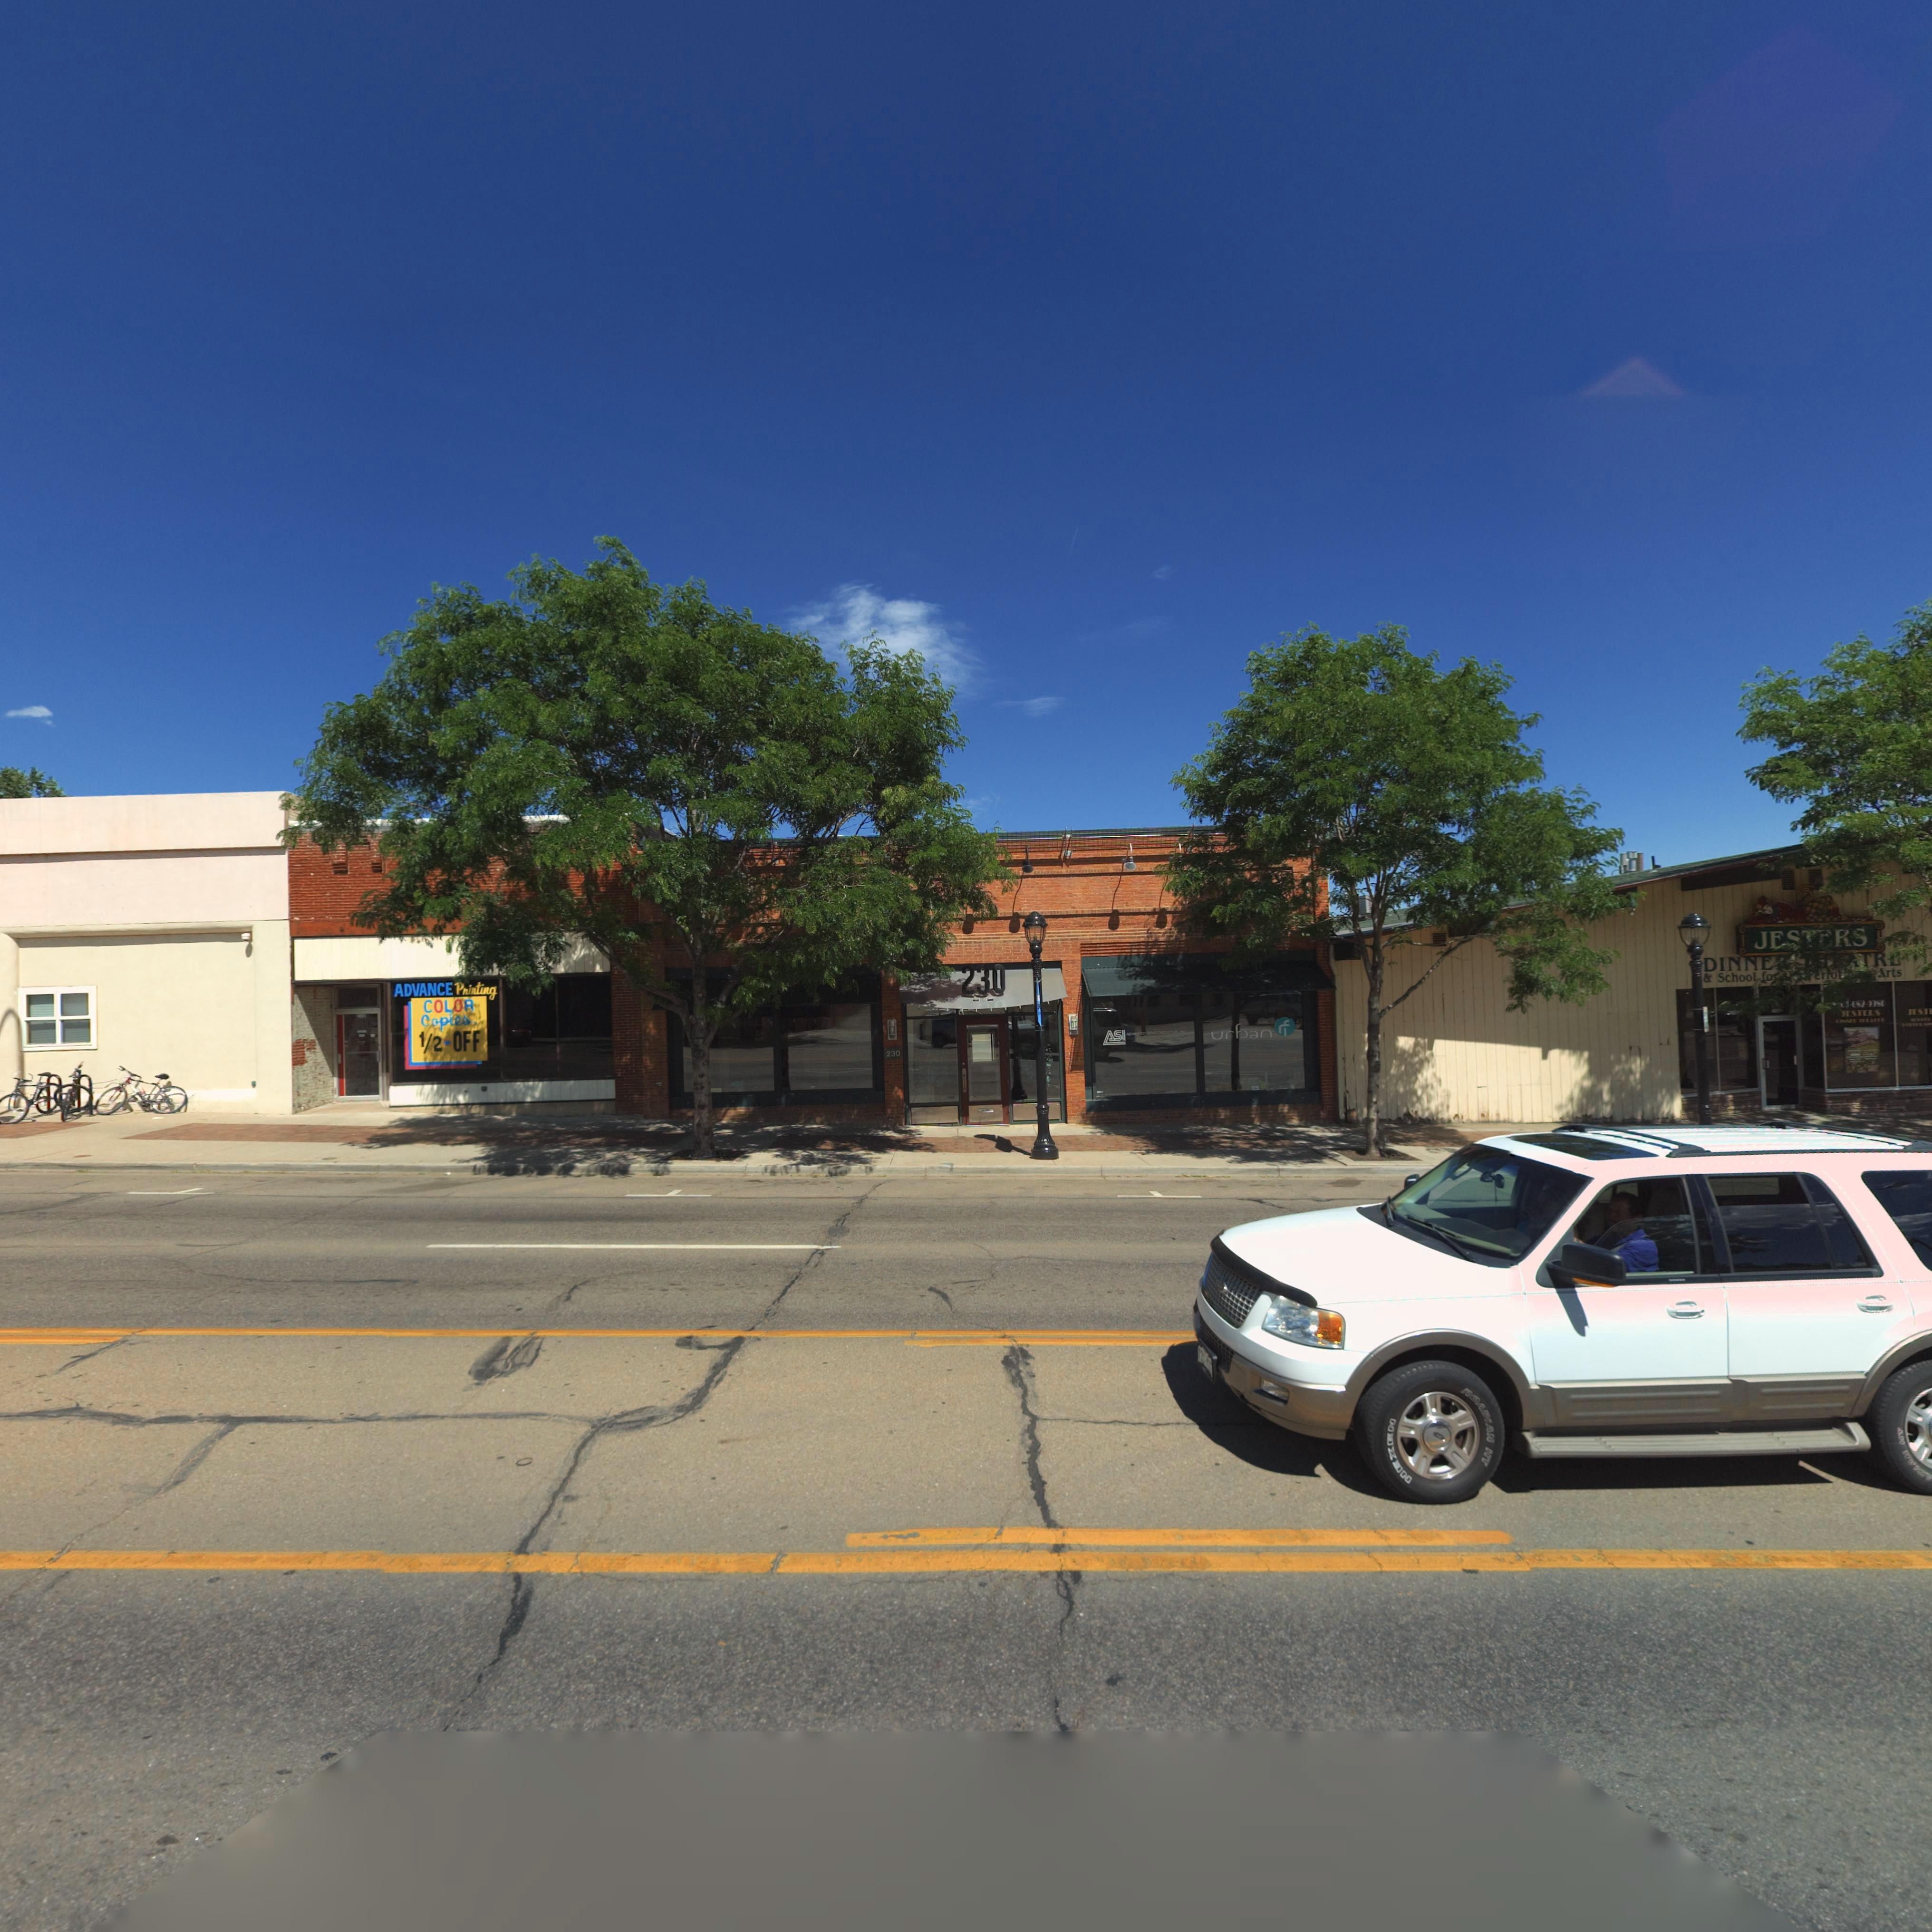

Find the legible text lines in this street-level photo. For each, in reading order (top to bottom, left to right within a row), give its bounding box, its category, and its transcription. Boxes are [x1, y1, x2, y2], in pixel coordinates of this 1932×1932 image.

[1752, 927, 1869, 950] BusinessName: JESTERS
[1702, 951, 1902, 972] BusinessName: DINNE* ****TRE
[961, 963, 1005, 995] StreetNumber: 230
[1702, 967, 1903, 983] BusinessName: & School for *** *erfor**** Arts
[393, 981, 498, 1000] BusinessName: ADVANCE Printing
[1210, 1023, 1273, 1040] BusinessName: urban
[885, 1050, 900, 1057] StreetNumber: 230